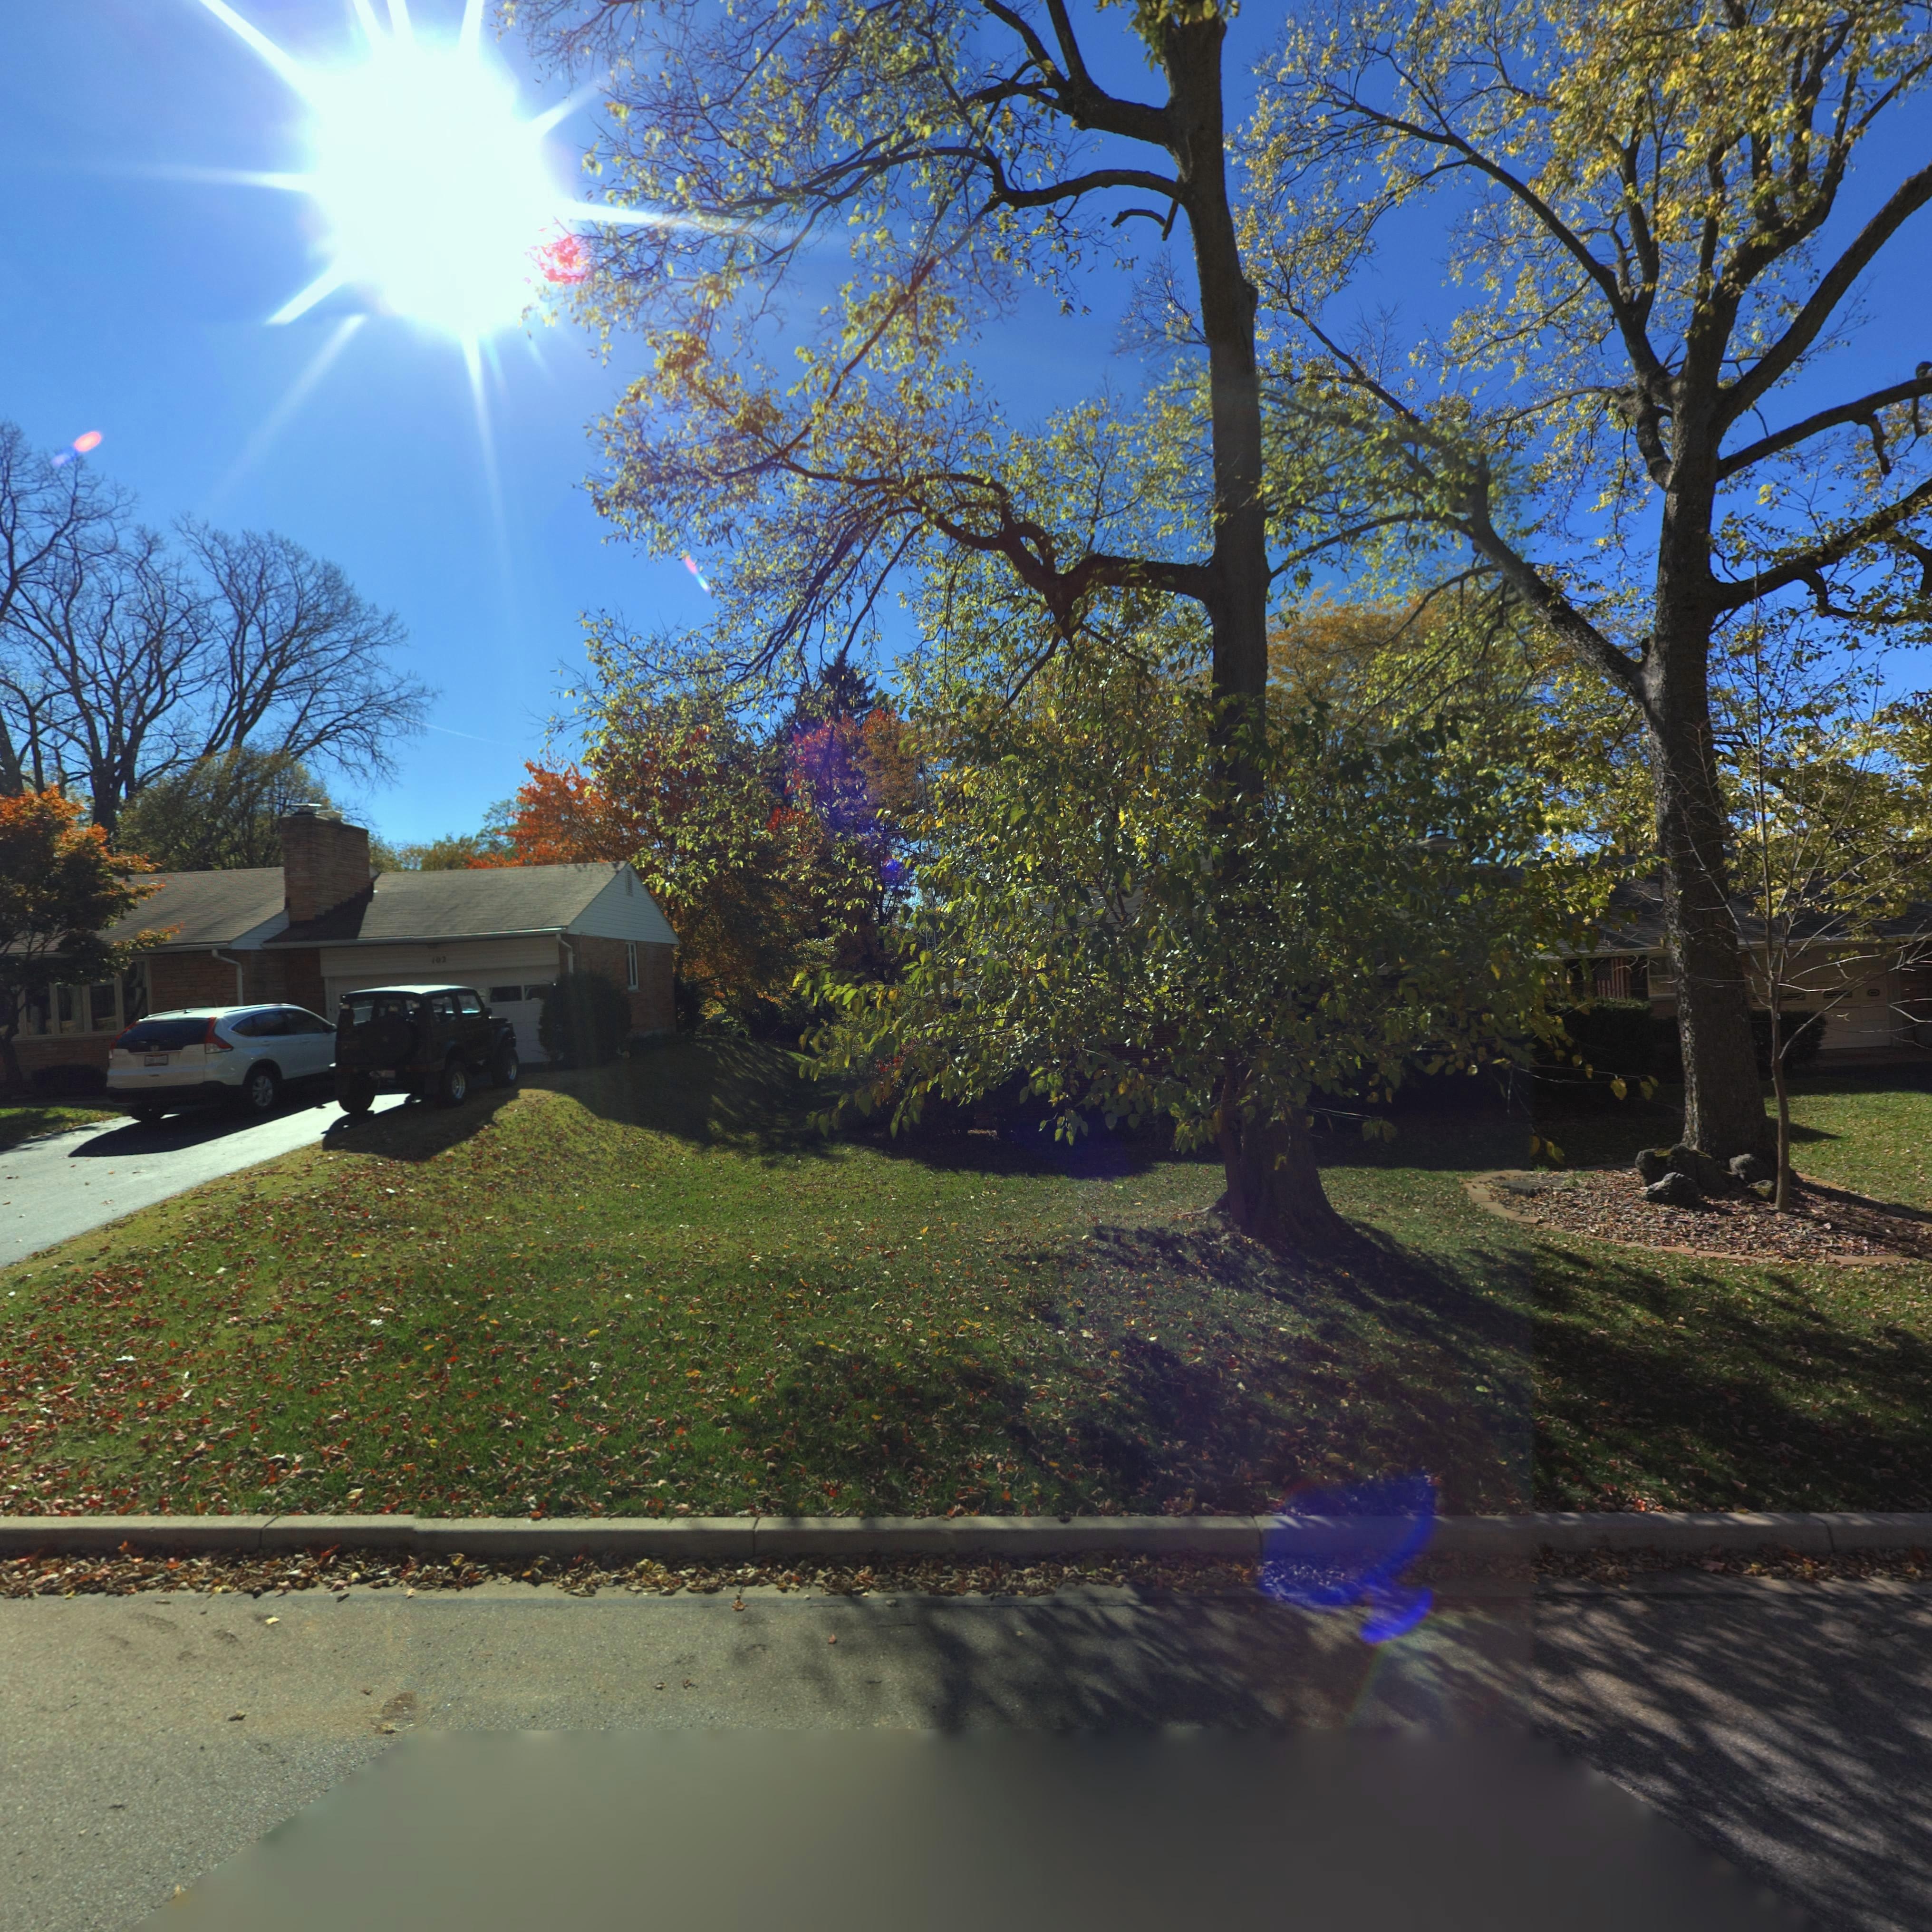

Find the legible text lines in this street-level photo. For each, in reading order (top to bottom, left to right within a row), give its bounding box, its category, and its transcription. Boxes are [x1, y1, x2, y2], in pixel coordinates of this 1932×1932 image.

[431, 955, 447, 964] StreetNumber: 102